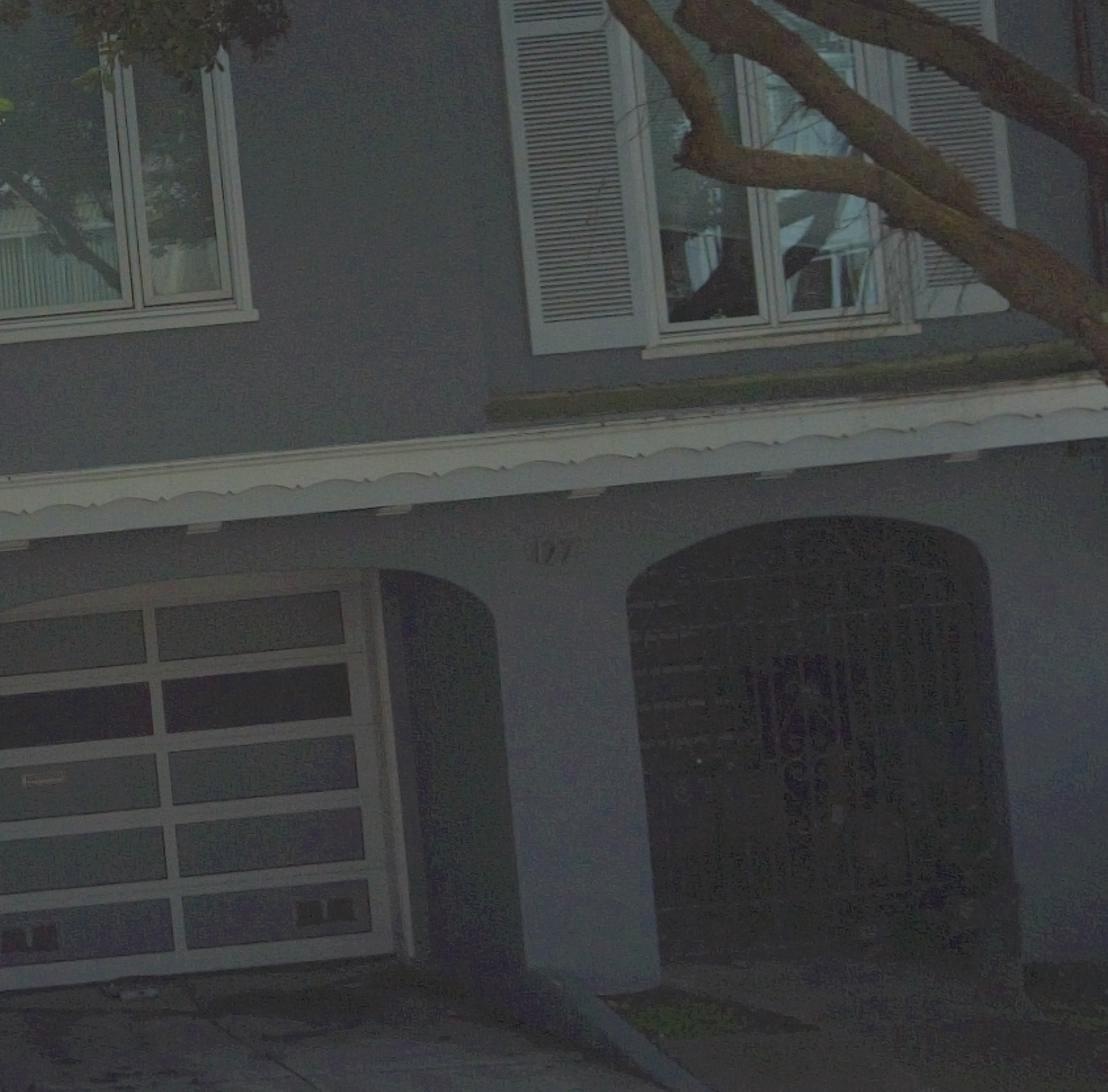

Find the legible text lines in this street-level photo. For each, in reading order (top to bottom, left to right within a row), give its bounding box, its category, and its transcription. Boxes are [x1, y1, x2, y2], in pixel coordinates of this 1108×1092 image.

[530, 536, 576, 566] StreetNumber: 1*7